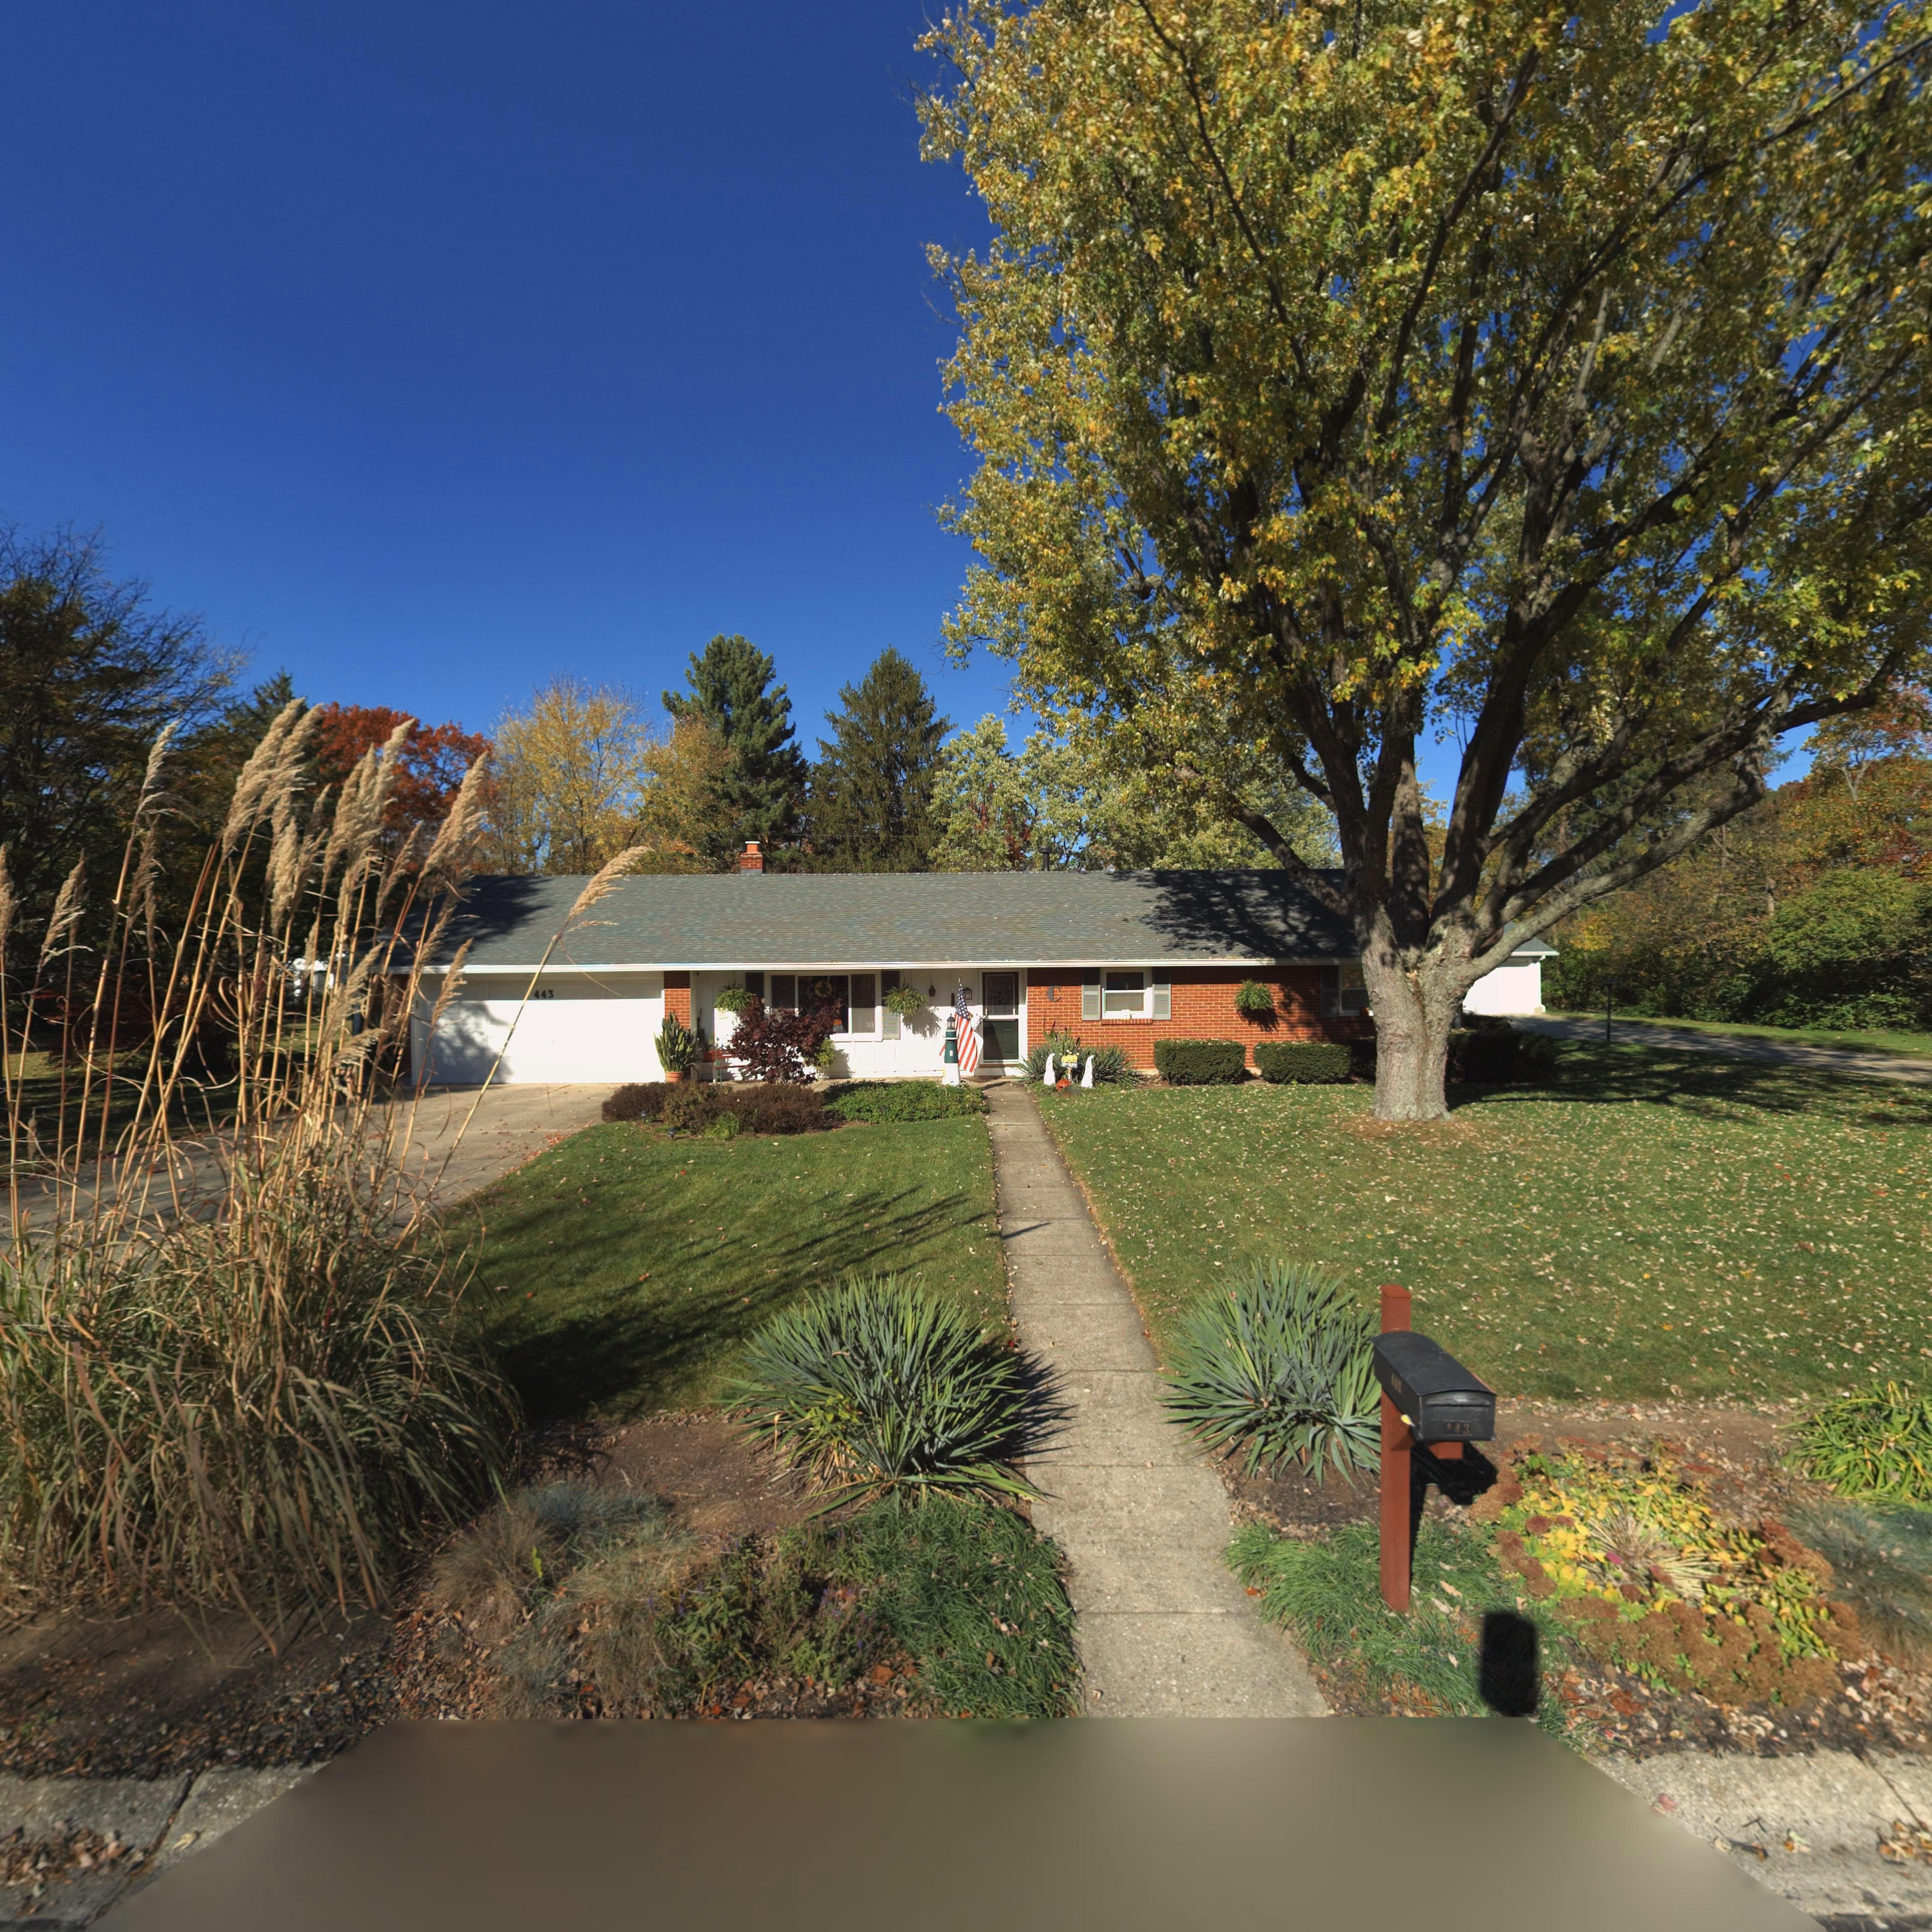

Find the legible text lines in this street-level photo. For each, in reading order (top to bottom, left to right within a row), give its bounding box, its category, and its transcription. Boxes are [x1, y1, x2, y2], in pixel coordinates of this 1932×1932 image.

[533, 989, 554, 999] StreetNumber: 443
[1046, 984, 1061, 1002] None: C
[1390, 1372, 1402, 1396] StreetNumber: 443
[1445, 1422, 1470, 1436] StreetNumber: *43